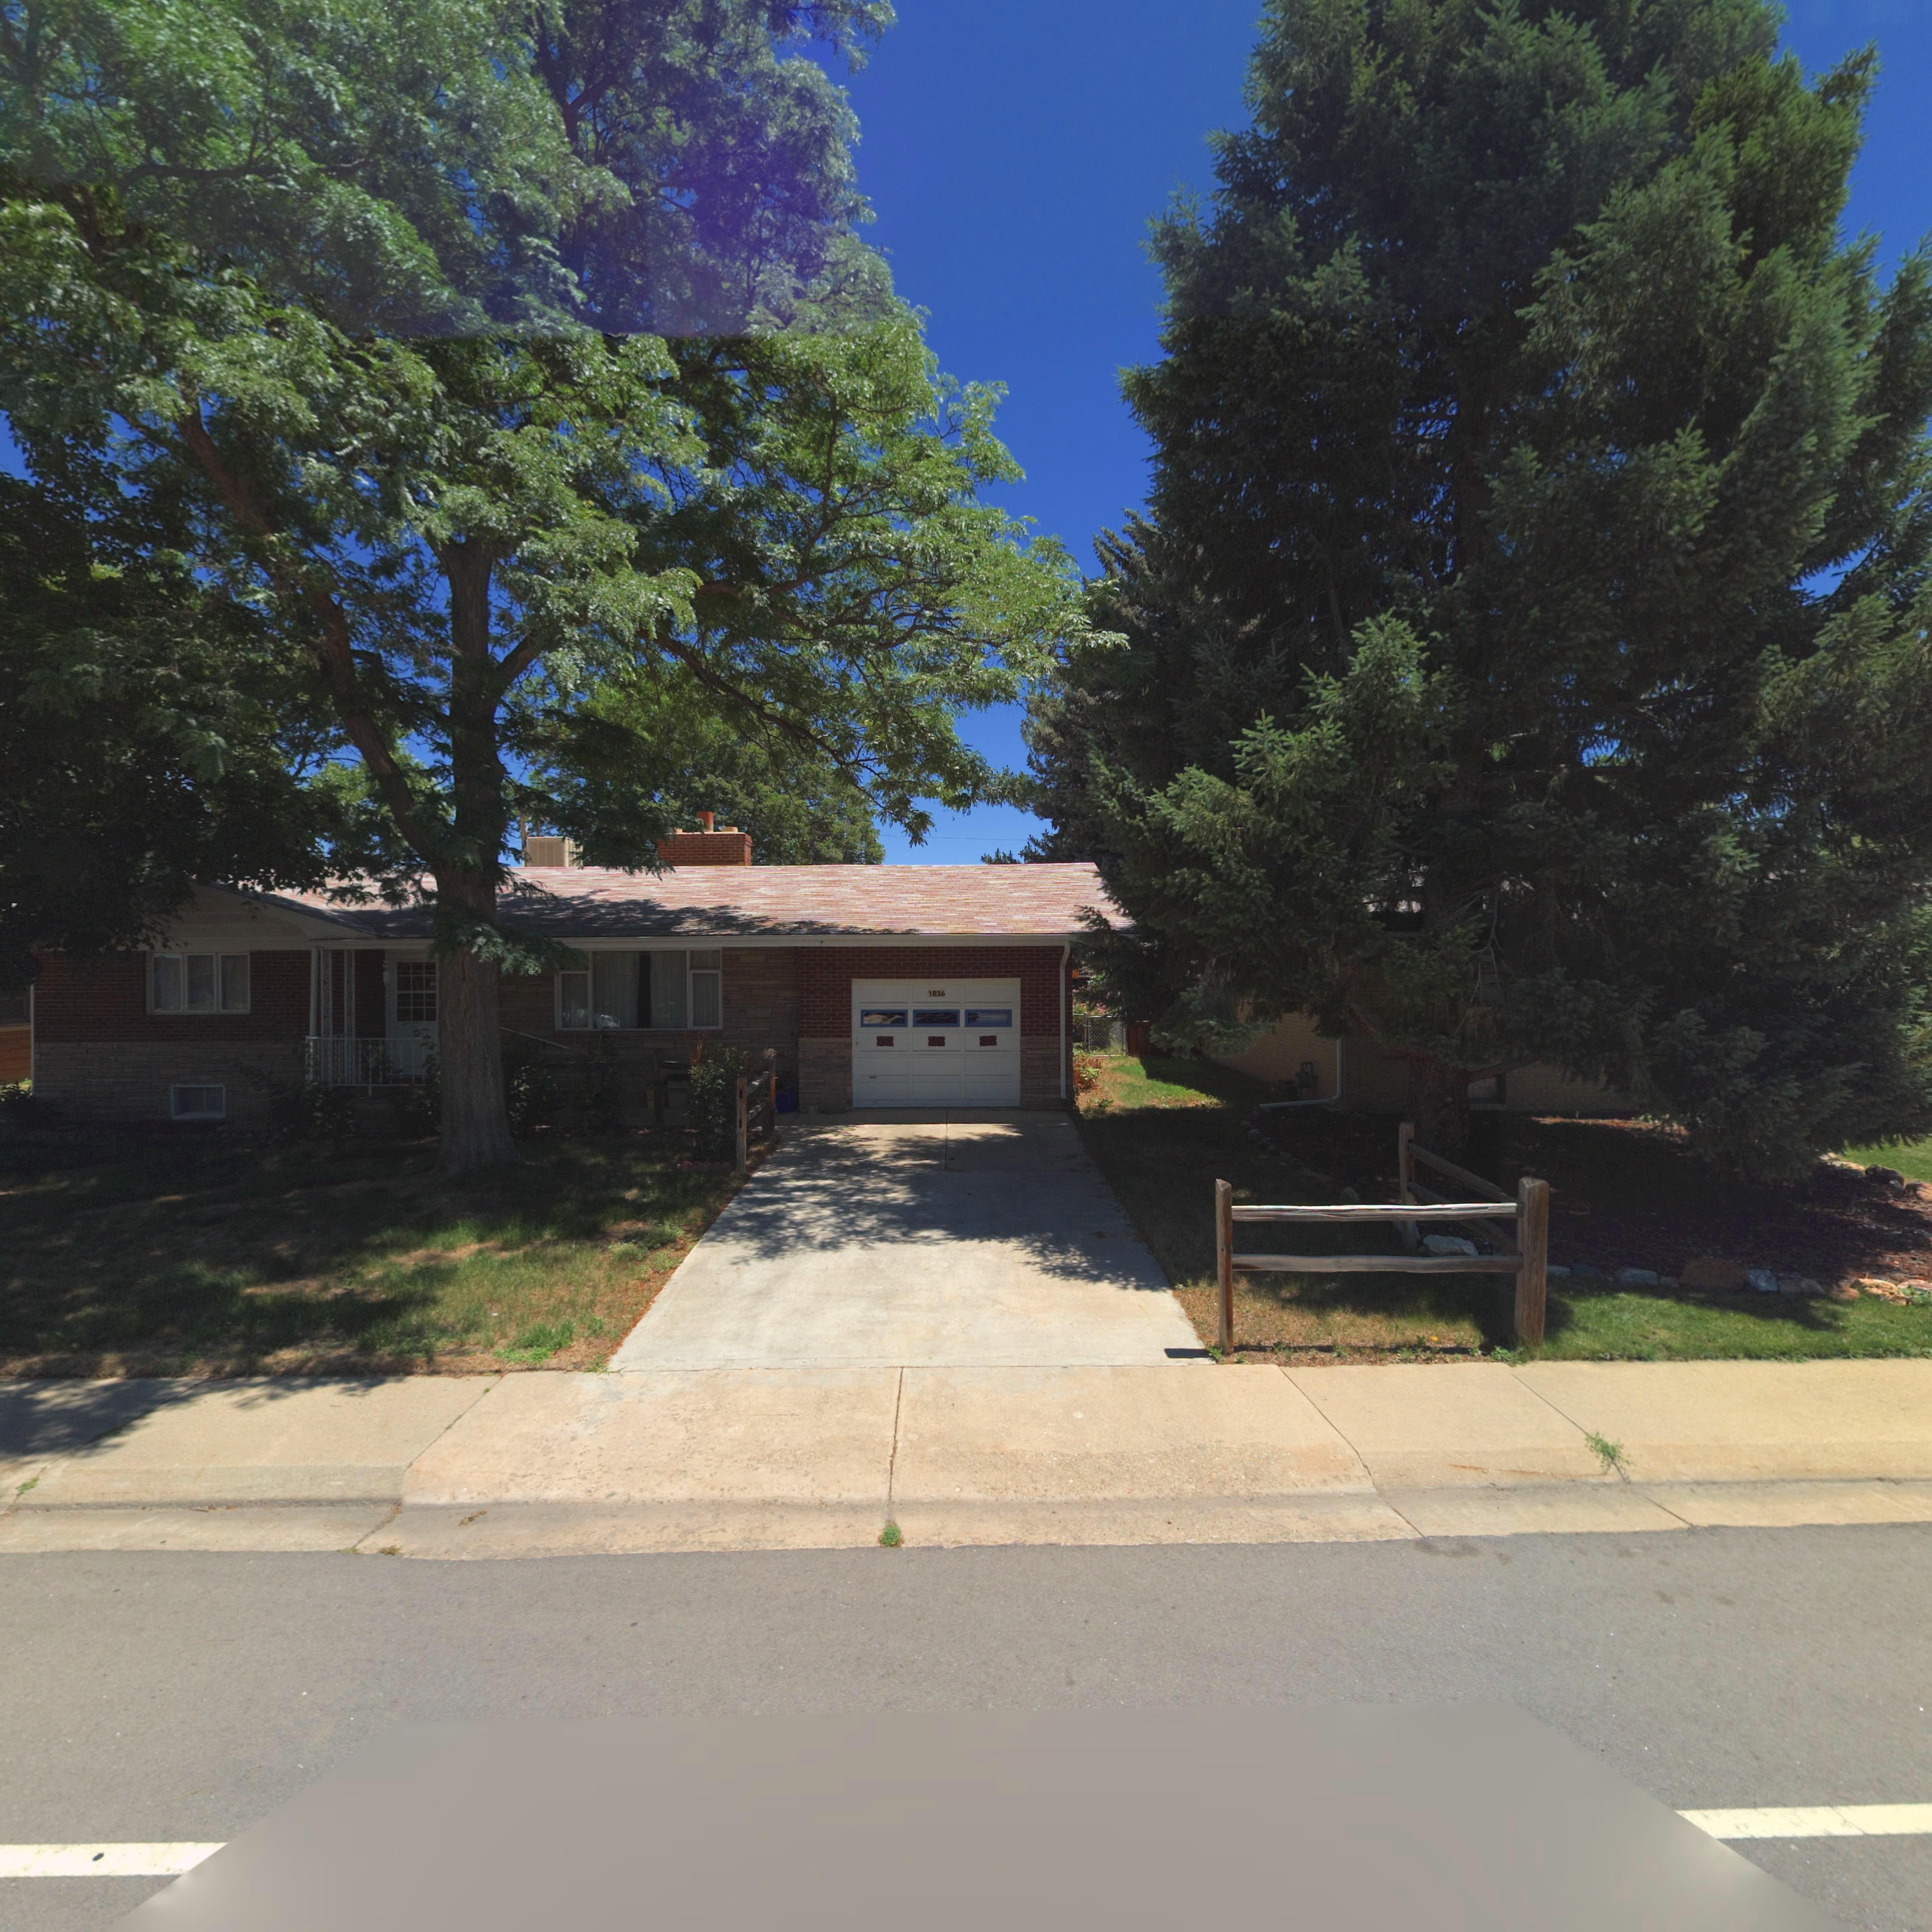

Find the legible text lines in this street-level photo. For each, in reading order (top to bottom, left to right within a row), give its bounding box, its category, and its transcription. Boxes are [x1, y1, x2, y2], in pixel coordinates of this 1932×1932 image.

[928, 990, 945, 996] StreetNumber: 1836